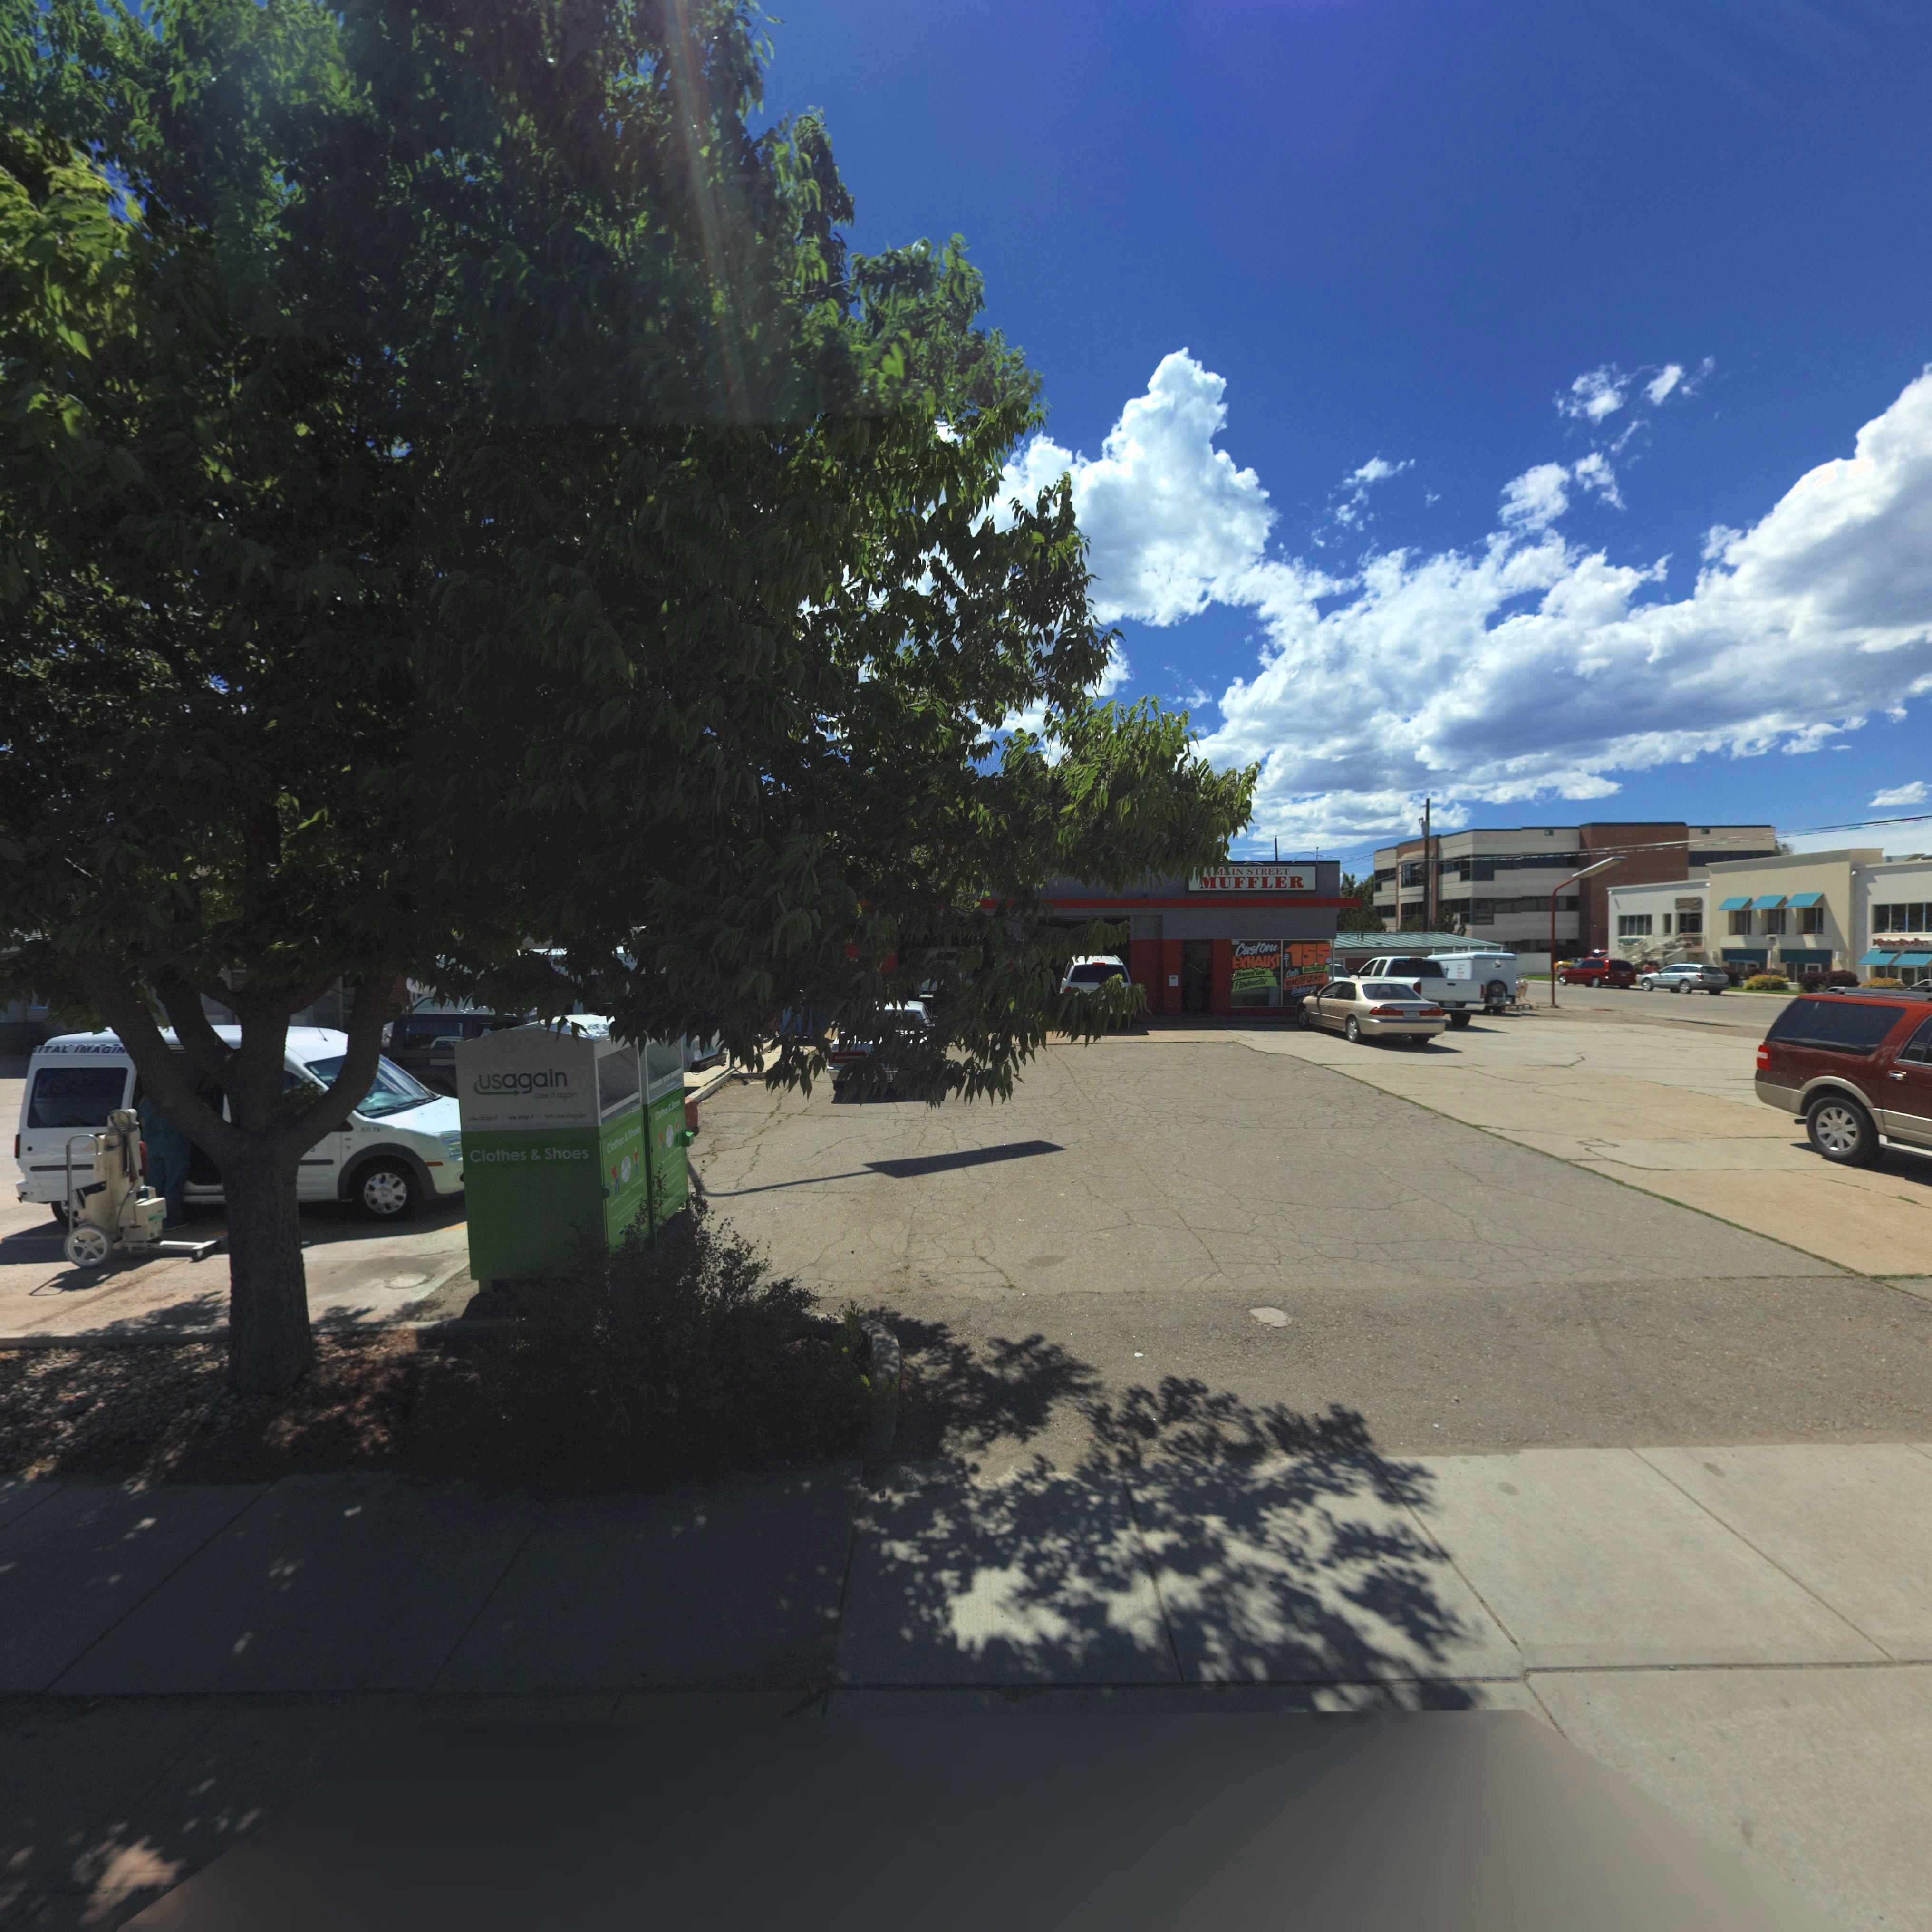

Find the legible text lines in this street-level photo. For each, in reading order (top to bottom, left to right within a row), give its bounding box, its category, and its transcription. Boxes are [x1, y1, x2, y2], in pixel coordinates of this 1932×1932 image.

[1214, 868, 1290, 875] BusinessName: **IN STREET
[1199, 875, 1305, 889] BusinessName: MUFFLER